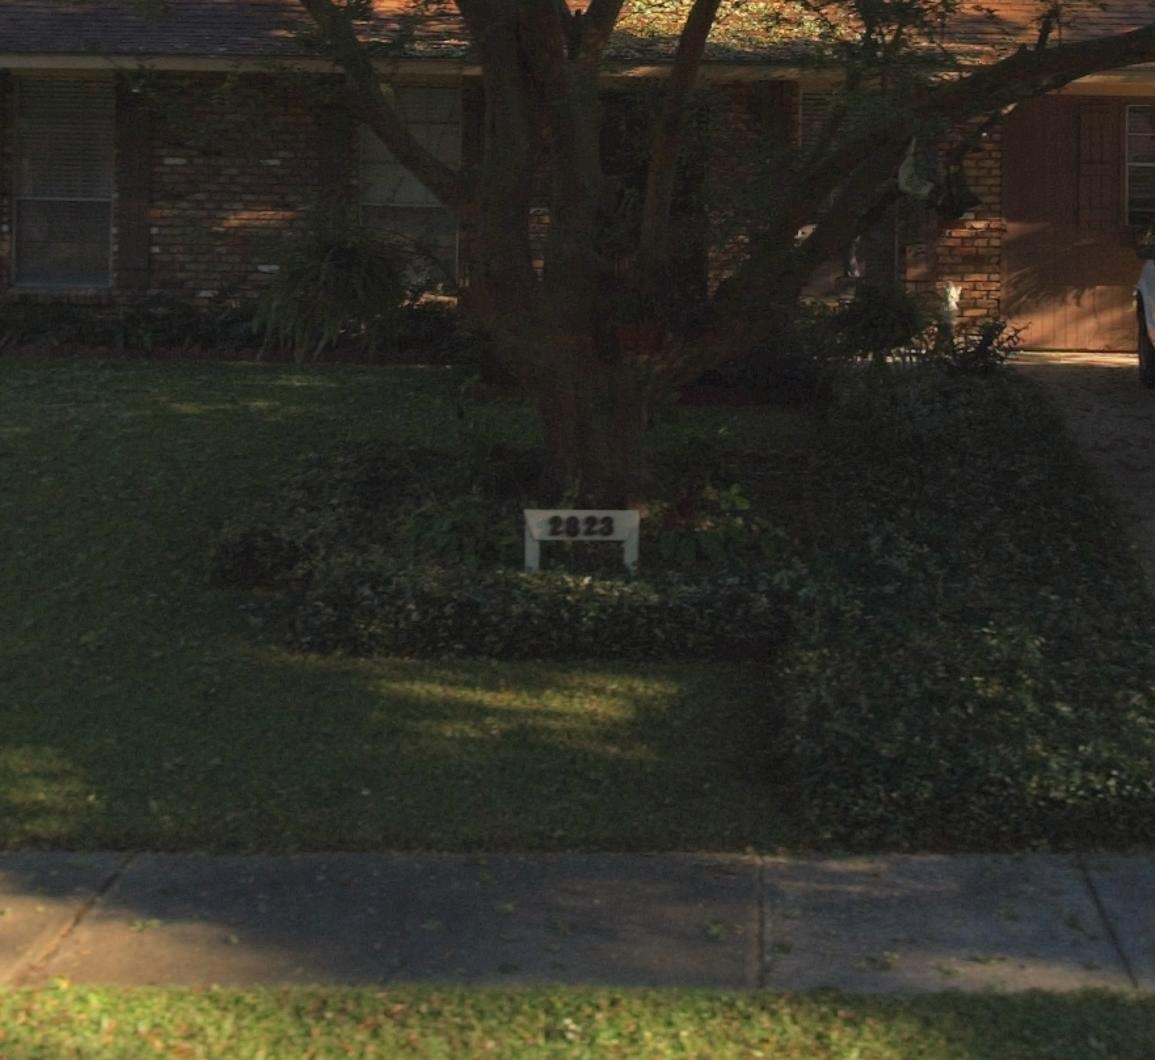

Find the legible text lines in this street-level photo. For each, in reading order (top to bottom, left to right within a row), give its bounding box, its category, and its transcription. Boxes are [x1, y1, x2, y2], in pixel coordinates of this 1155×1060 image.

[545, 513, 617, 539] StreetNumber: 2823